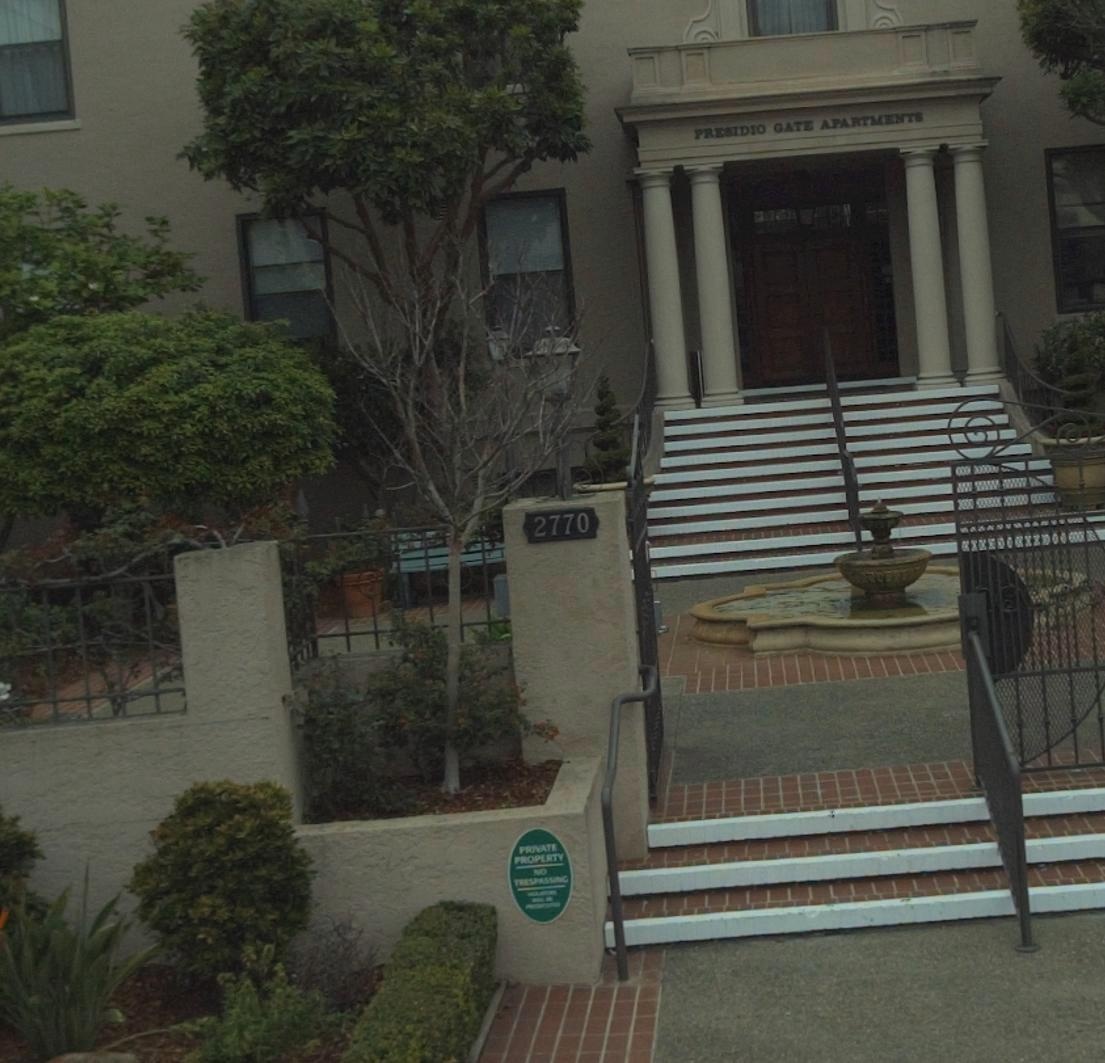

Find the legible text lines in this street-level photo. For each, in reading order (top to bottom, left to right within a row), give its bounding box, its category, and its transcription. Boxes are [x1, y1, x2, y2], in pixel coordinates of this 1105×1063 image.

[693, 110, 926, 141] BusinessName: PRESIDIO GATE APARTMENTS
[532, 511, 591, 539] StreetNumber: 2770
[518, 843, 559, 856] None: PRIVATE
[513, 852, 565, 866] None: PROPERTY
[533, 868, 548, 877] None: NO
[512, 874, 570, 888] None: TRESPASSING